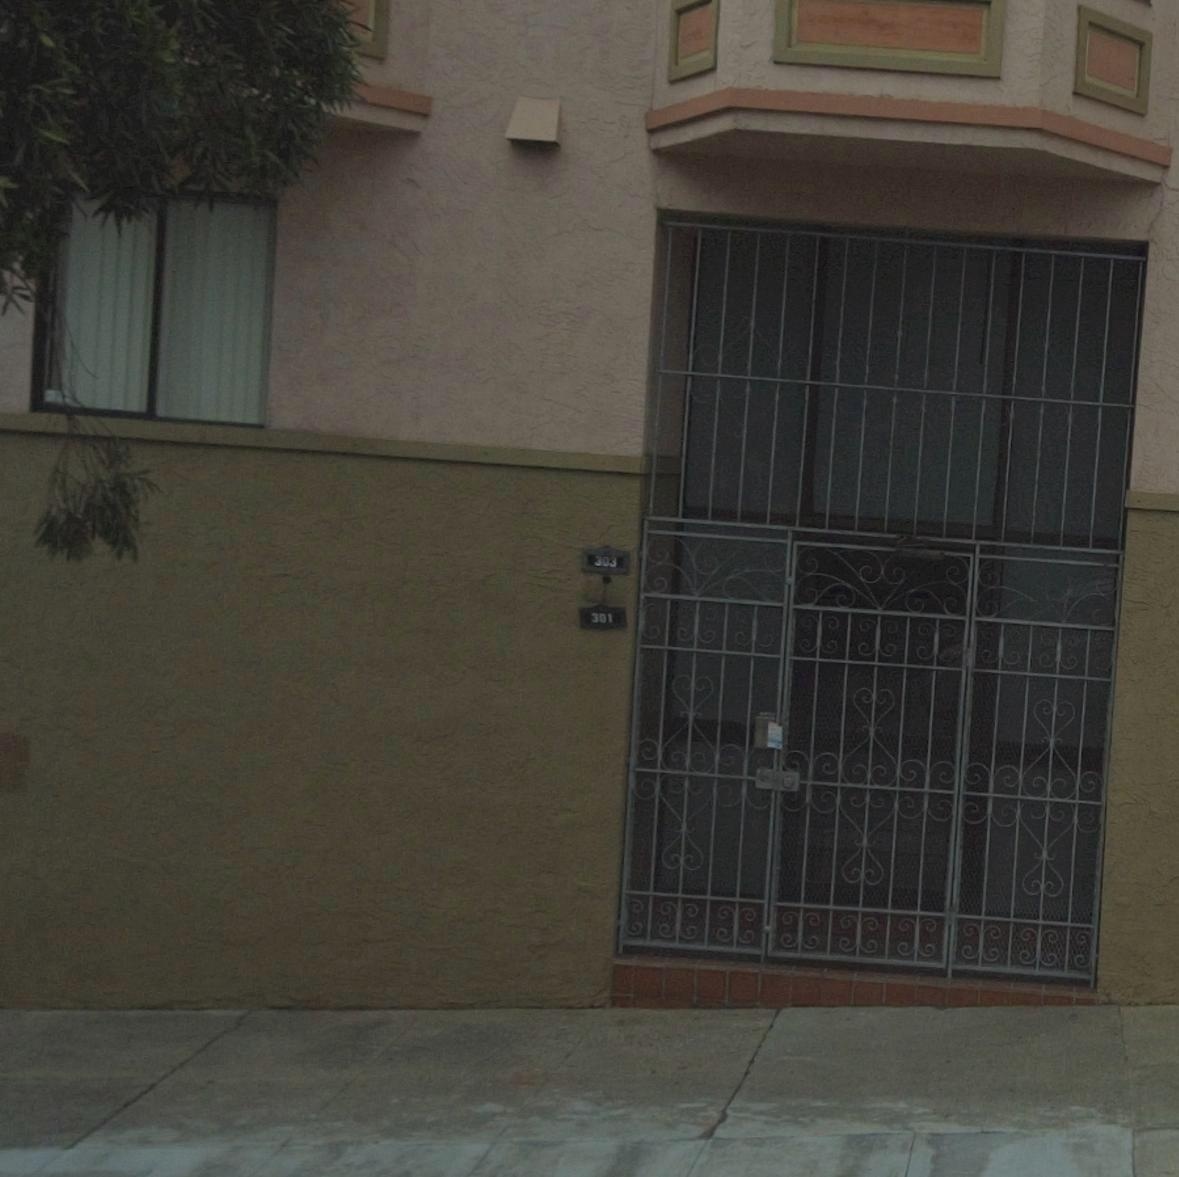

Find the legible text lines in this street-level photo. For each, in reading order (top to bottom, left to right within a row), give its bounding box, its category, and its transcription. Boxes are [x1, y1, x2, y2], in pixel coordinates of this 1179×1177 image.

[594, 554, 618, 568] StreetNumber: 303
[589, 610, 615, 624] StreetNumber: 301